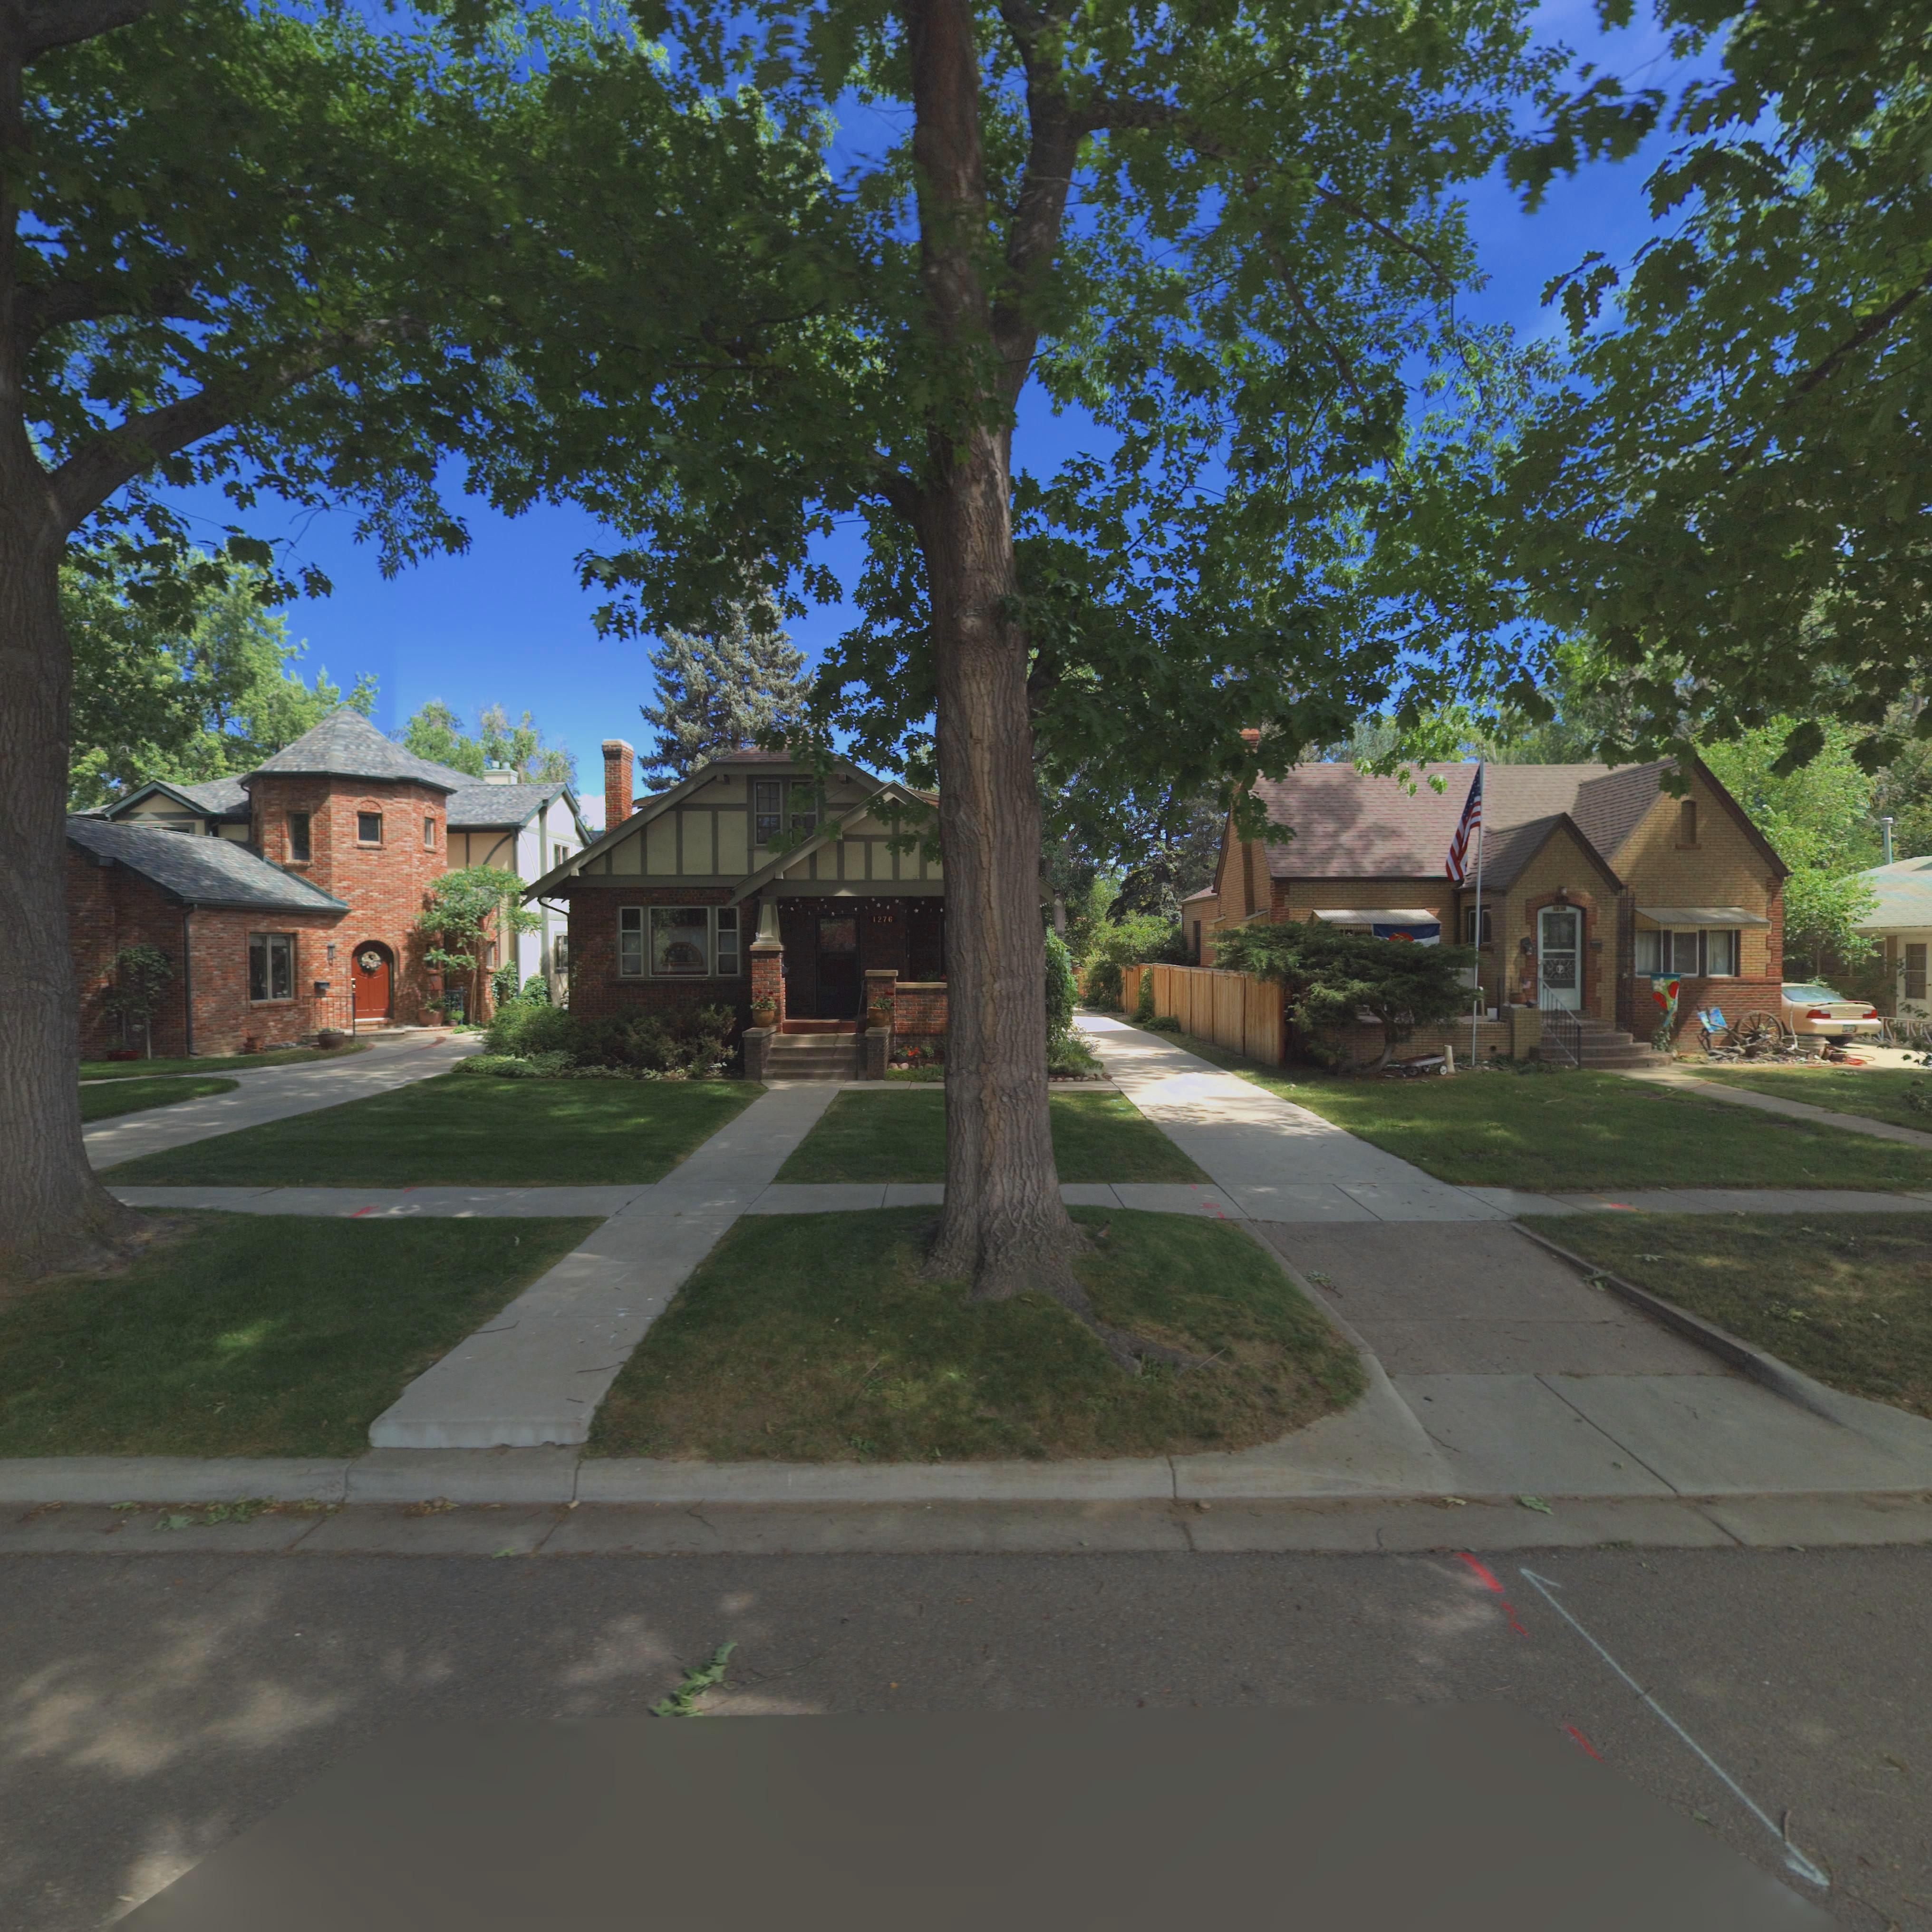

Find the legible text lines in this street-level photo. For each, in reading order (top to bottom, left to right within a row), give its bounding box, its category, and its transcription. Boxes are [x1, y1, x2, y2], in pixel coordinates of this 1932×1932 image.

[1553, 906, 1566, 911] StreetNumber: 1***
[873, 916, 892, 923] StreetNumber: 1276